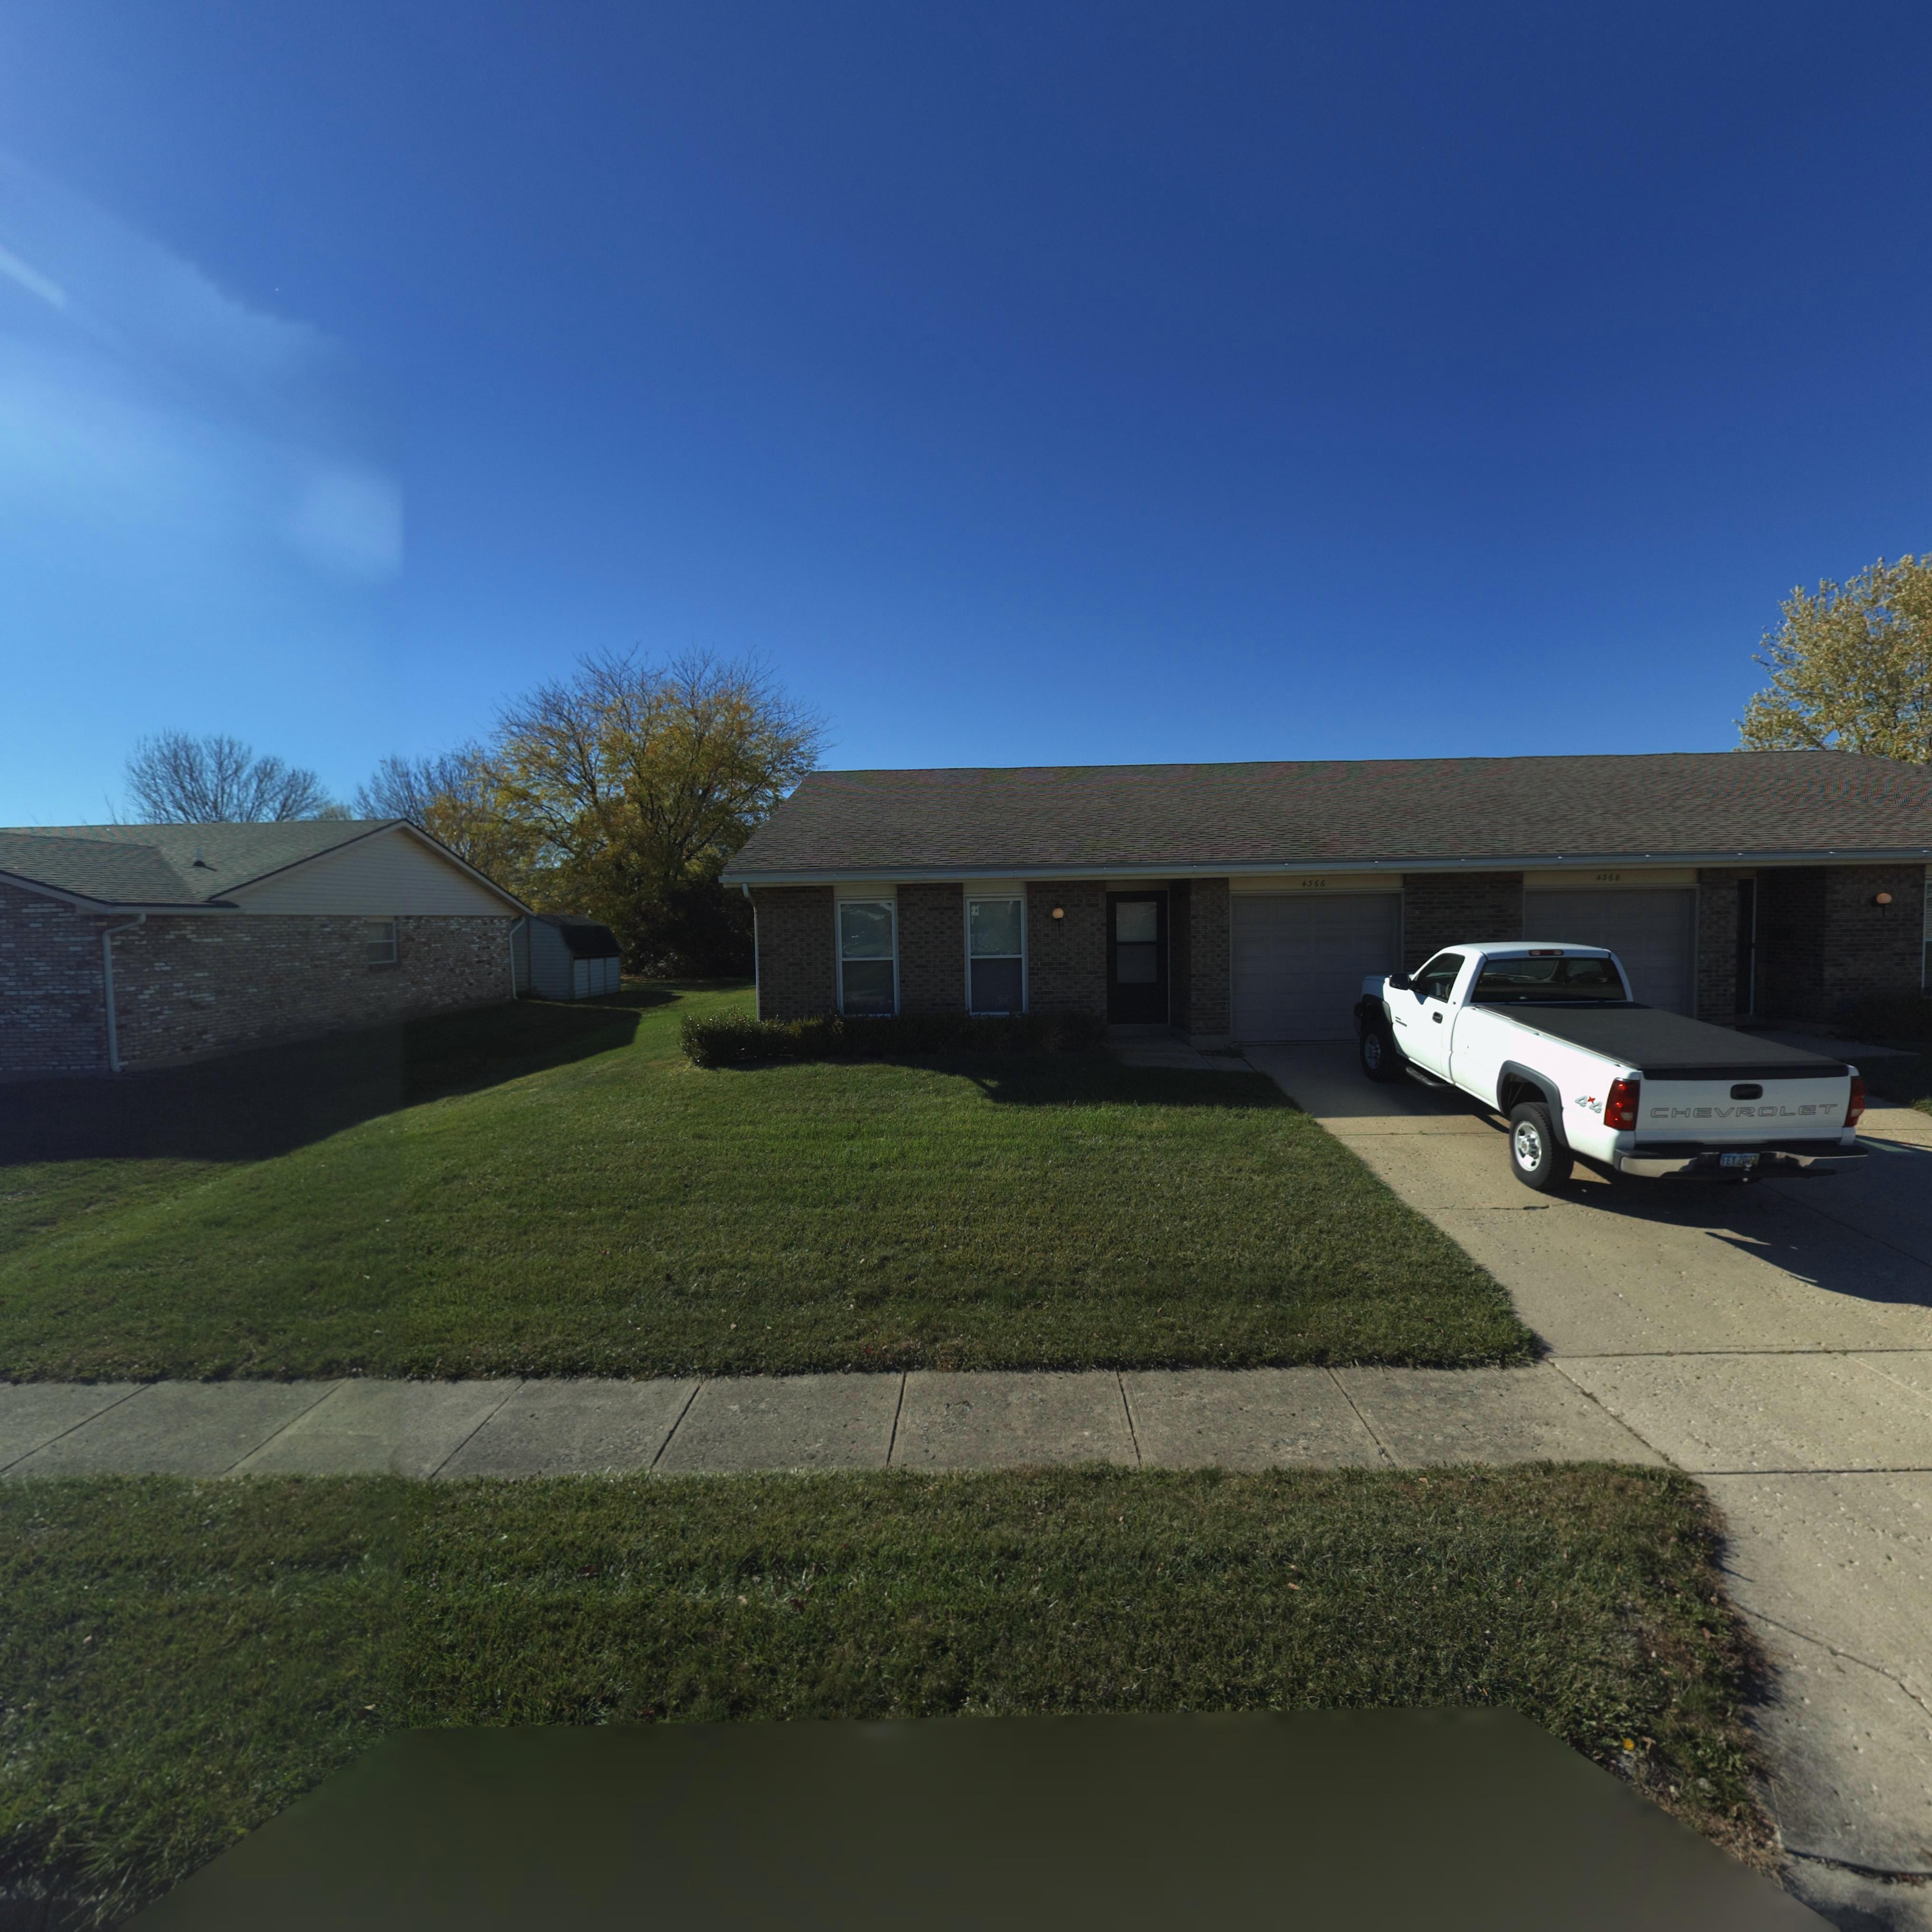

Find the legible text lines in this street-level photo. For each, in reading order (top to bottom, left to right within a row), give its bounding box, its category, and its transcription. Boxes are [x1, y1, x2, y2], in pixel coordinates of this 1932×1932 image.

[1594, 873, 1622, 881] StreetNumber: 4368
[1301, 879, 1326, 887] StreetNumber: 4366